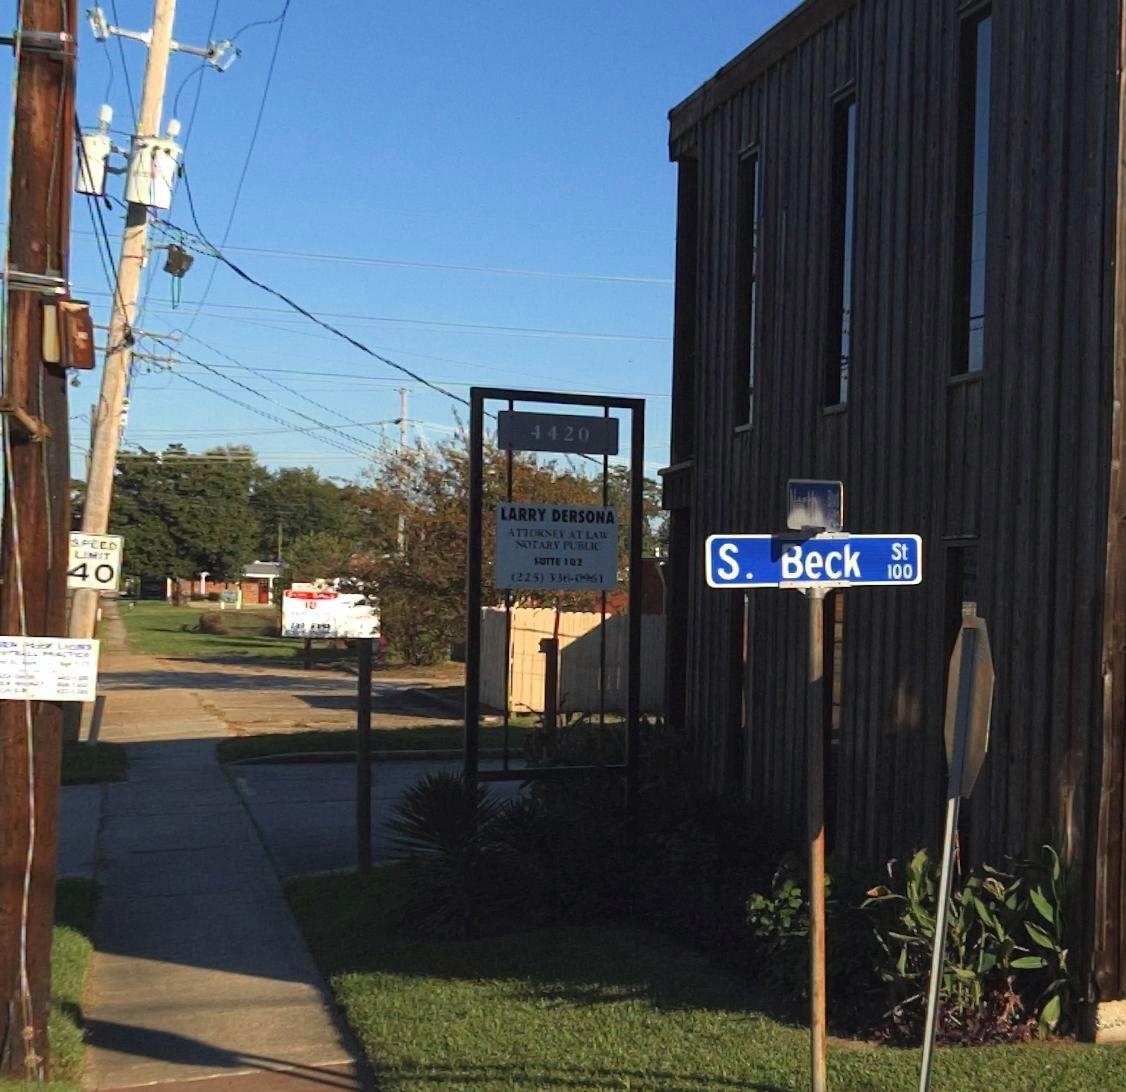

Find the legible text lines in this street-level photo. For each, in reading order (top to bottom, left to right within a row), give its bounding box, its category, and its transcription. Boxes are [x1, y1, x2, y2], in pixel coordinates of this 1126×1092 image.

[529, 423, 591, 444] StreetNumber: 4420
[499, 506, 616, 525] BusinessName: LARRY DERSONA
[504, 527, 610, 540] BusinessName: ATTORNEY AT LAW
[70, 537, 119, 551] None: SPEED
[514, 539, 603, 552] BusinessName: NOTARY PUBLIC
[73, 549, 111, 561] None: LIMIT
[532, 557, 585, 568] SecondaryUnitDesignator: SUITE 102
[716, 542, 910, 581] StreetName: S. Beck St
[67, 562, 115, 584] None: 40
[510, 570, 604, 585] None: (225) 336-0961
[886, 563, 914, 581] StreetNumberRange: 100